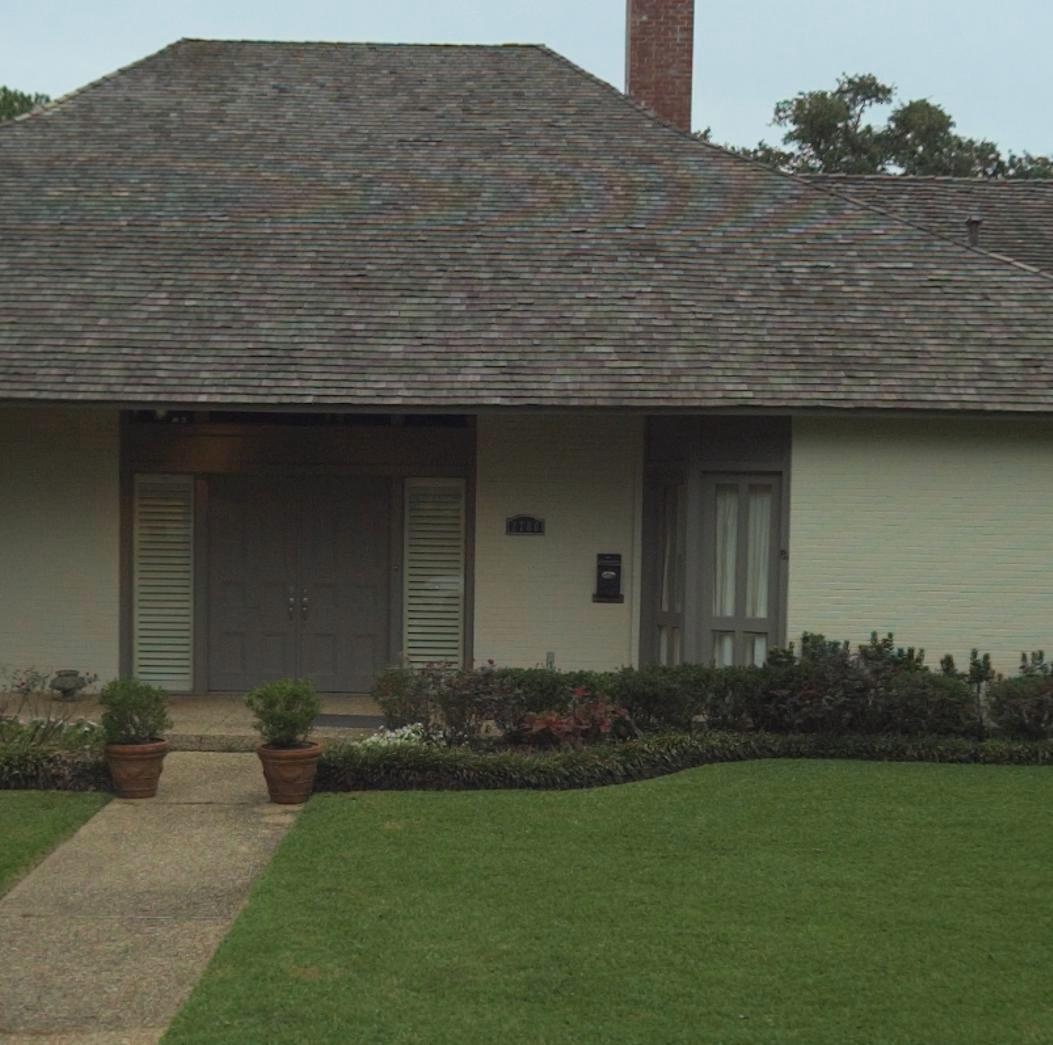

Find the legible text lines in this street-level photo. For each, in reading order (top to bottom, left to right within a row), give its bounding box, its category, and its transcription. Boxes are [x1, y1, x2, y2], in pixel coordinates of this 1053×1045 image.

[510, 520, 540, 532] StreetNumber: 3788